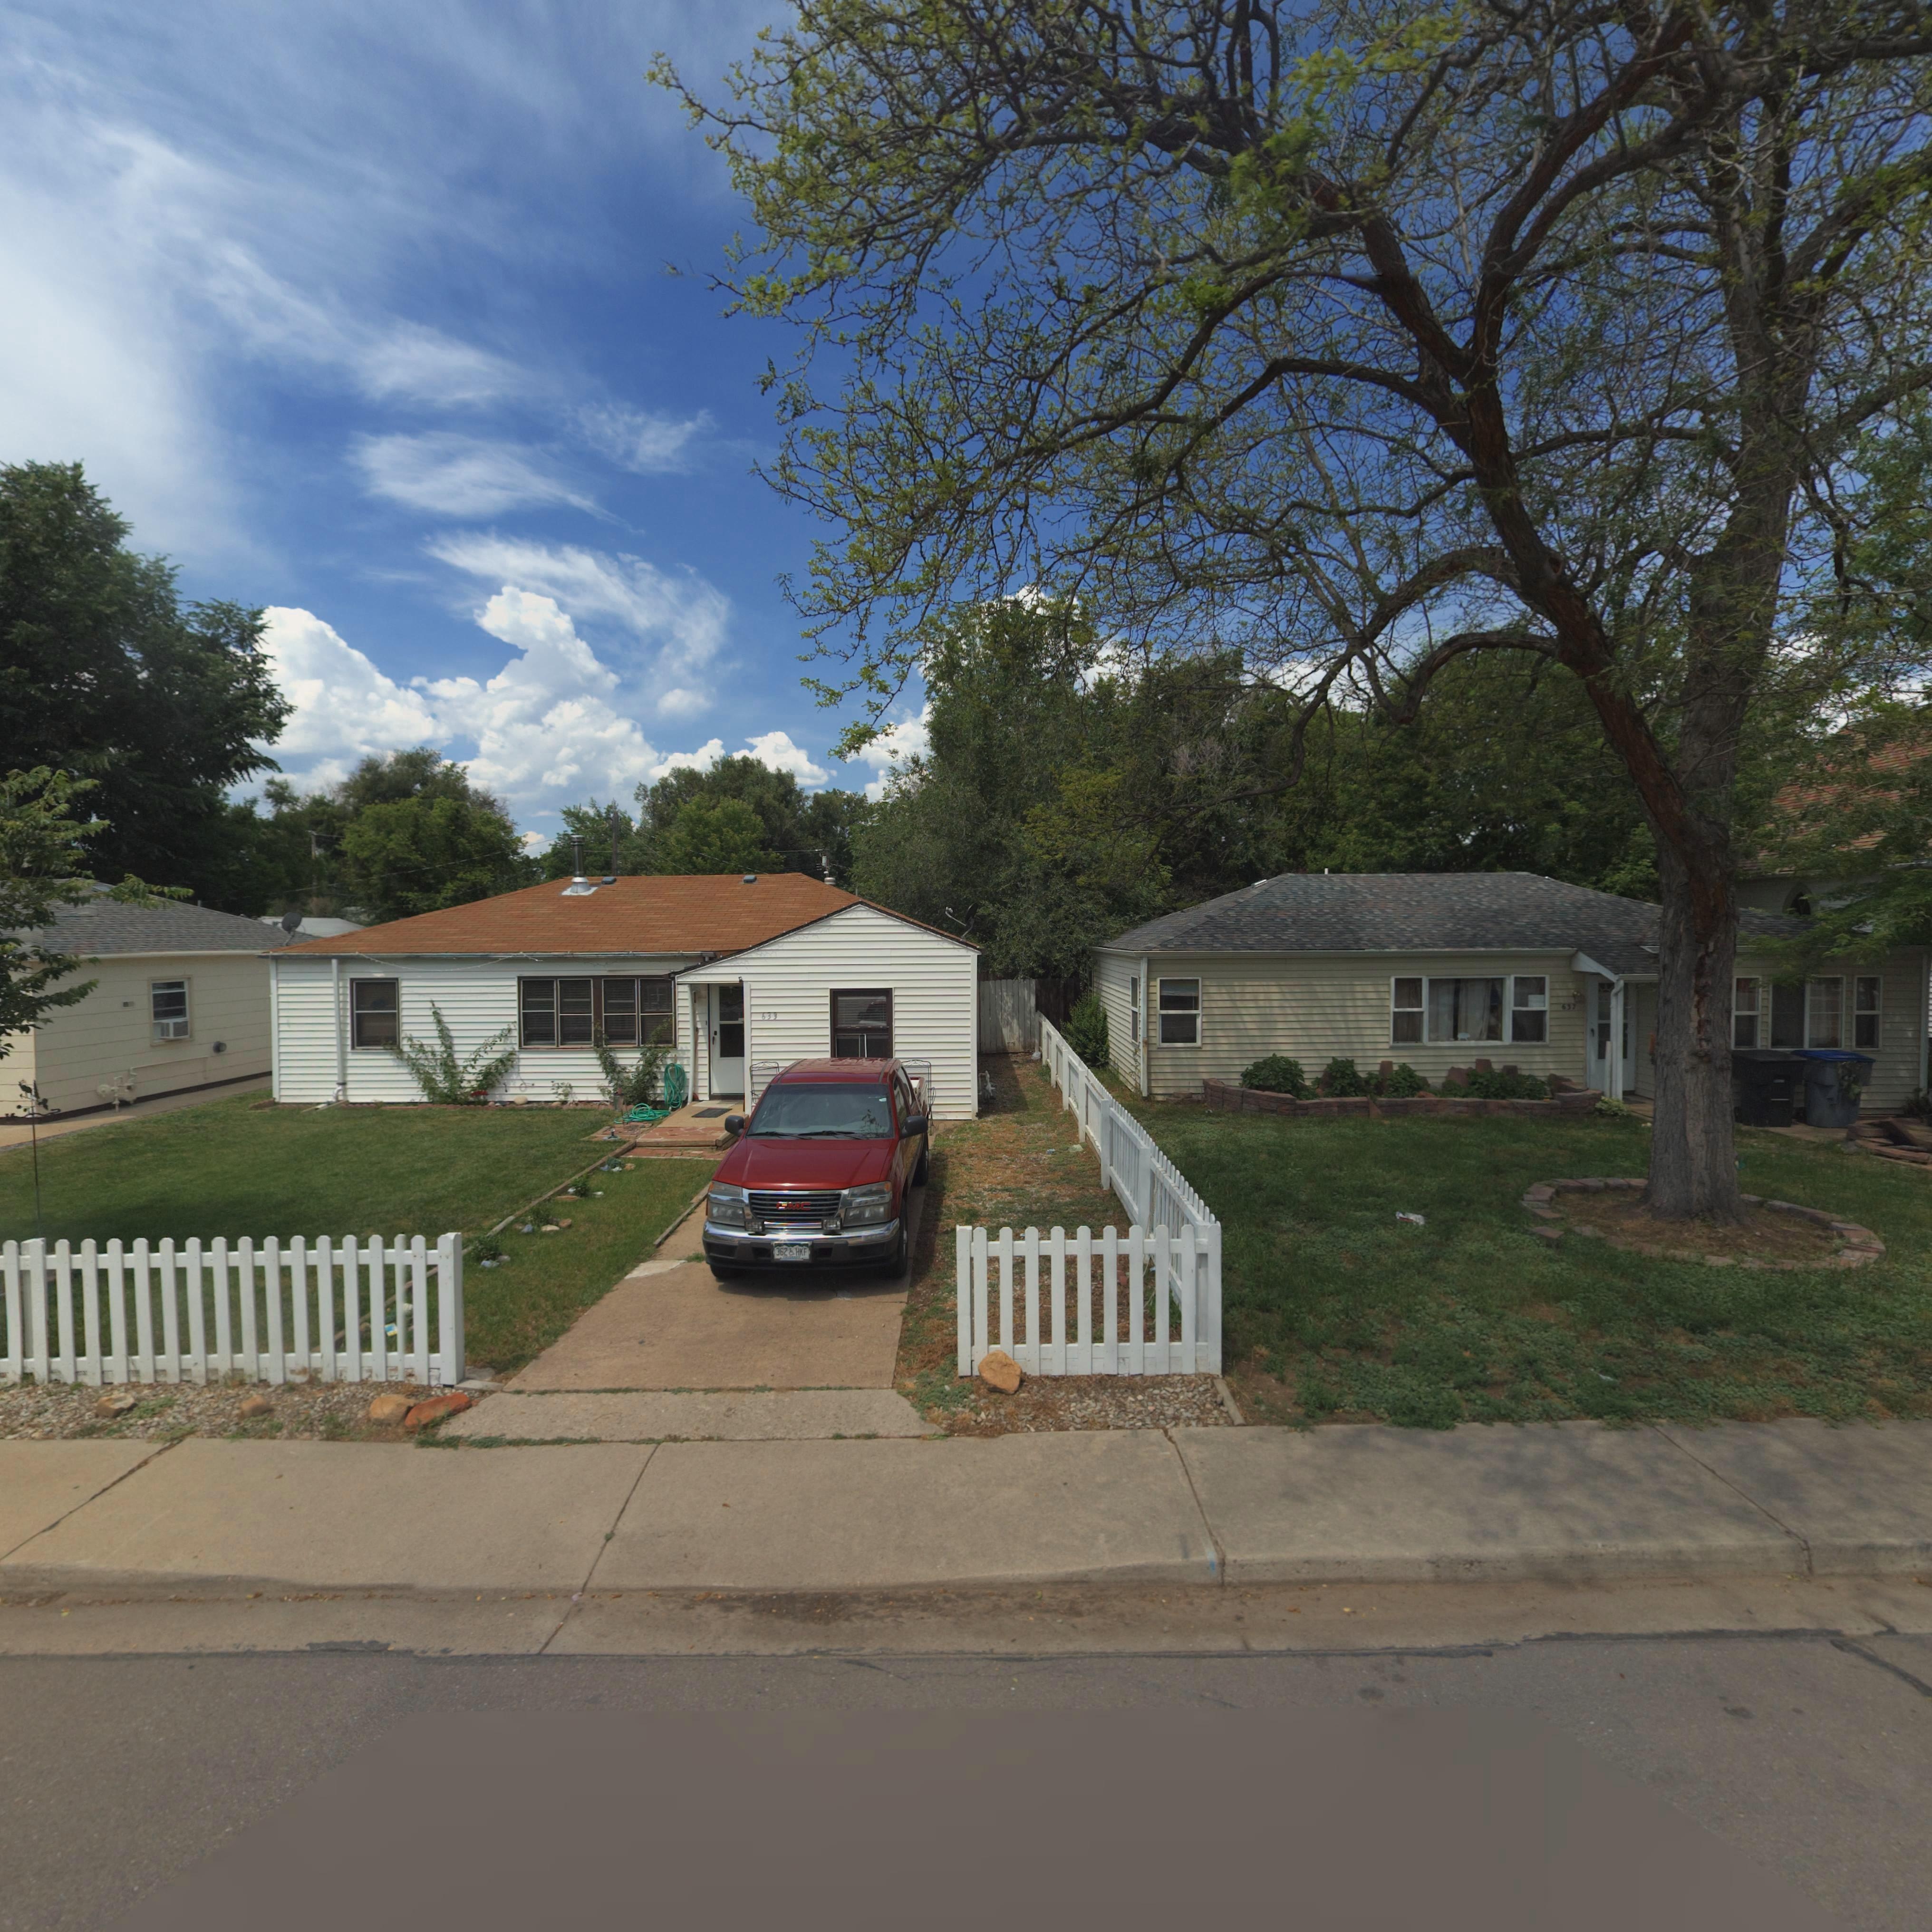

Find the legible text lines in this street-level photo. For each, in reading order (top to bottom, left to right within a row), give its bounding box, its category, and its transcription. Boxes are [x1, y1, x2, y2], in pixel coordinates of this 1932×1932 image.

[1561, 1003, 1576, 1010] StreetNumber: 637
[762, 1012, 777, 1020] StreetNumber: 633